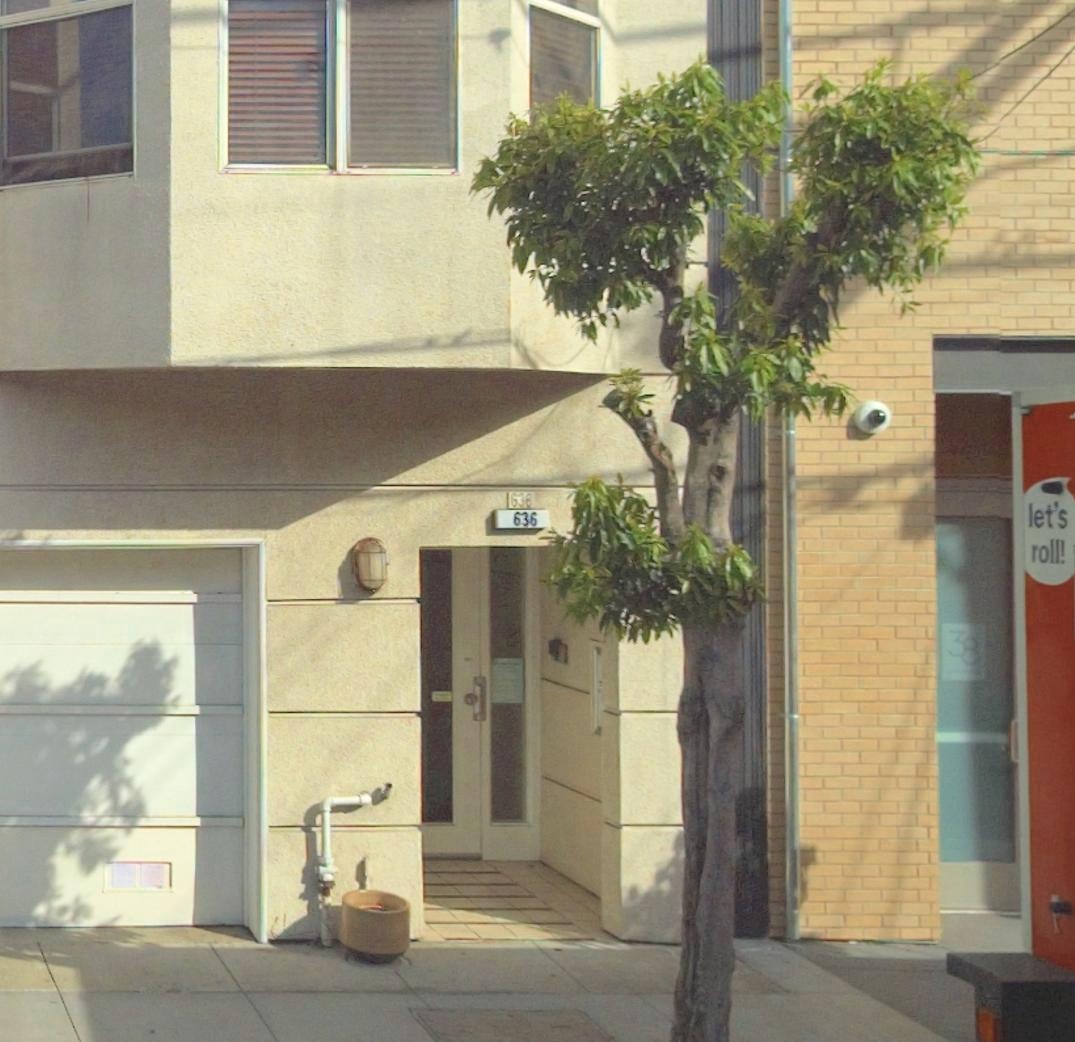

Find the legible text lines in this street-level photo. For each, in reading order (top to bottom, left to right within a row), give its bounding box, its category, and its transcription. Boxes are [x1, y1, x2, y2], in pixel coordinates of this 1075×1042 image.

[509, 490, 534, 509] None: 63*
[511, 510, 540, 529] StreetNumber: 636
[1023, 498, 1070, 530] None: let's
[1028, 536, 1068, 567] None: roll!